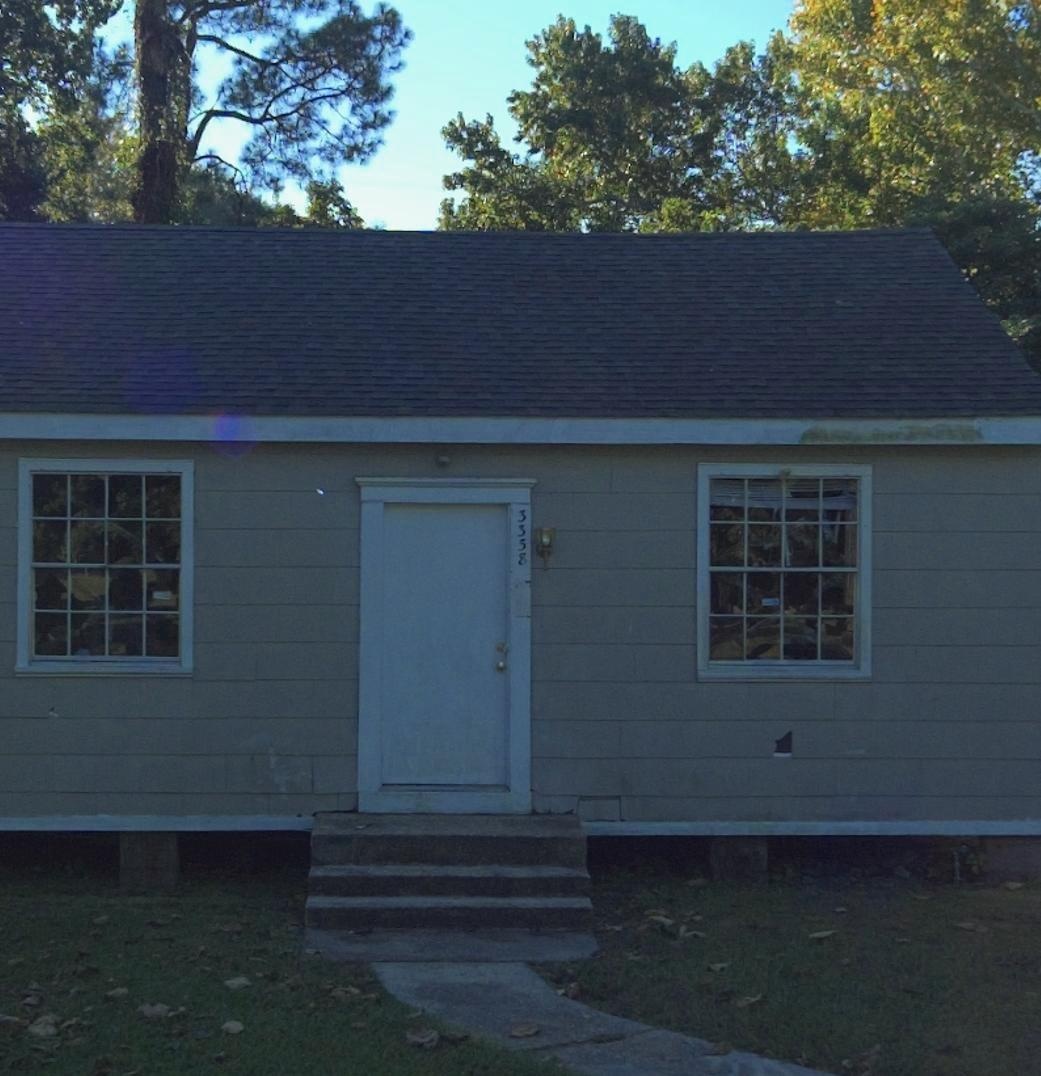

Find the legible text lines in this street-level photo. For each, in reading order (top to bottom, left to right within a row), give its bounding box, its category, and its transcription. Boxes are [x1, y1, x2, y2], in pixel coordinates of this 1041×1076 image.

[516, 508, 528, 567] StreetNumber: 3358